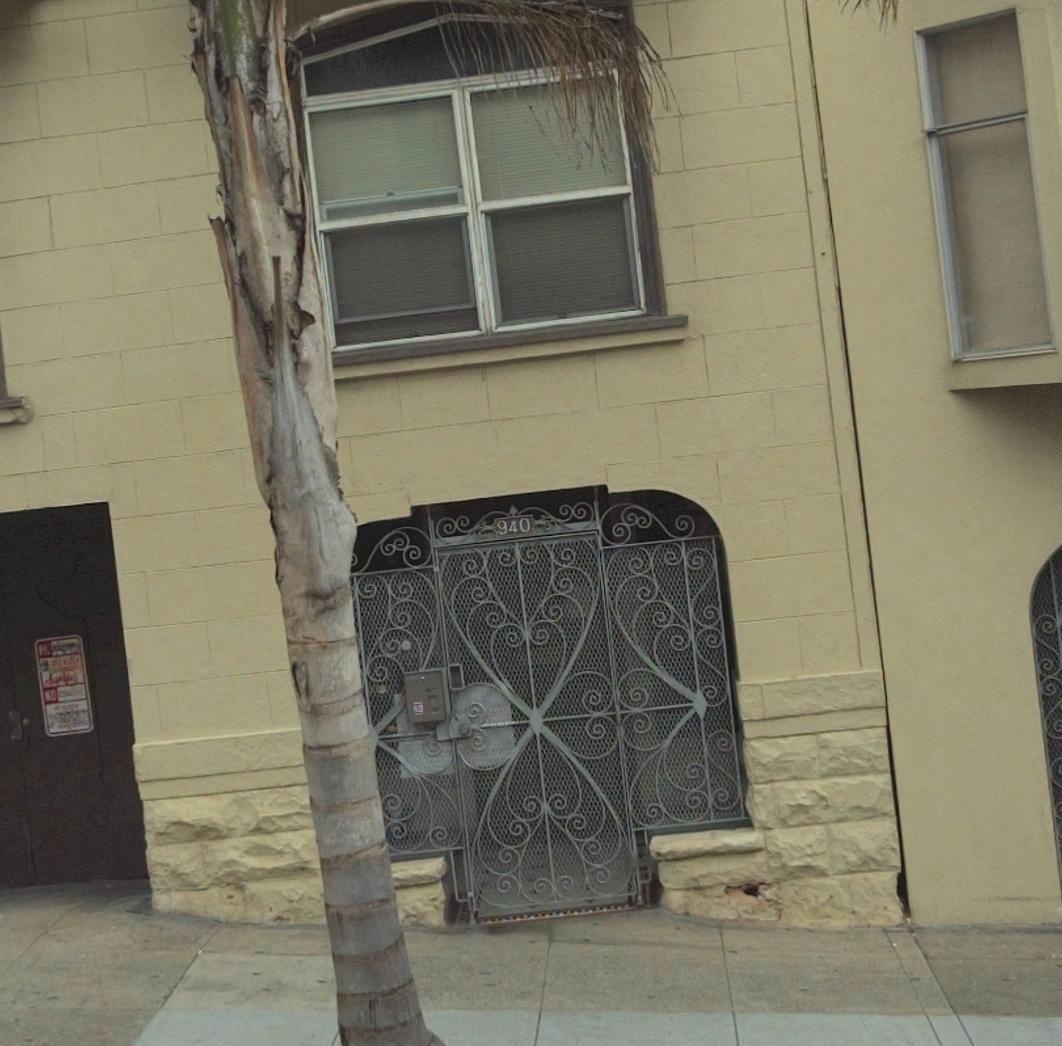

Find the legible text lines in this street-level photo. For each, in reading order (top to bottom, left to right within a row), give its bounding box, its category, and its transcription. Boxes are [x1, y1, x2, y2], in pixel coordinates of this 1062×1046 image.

[495, 516, 532, 538] StreetNumber: 940
[43, 687, 59, 705] None: NO